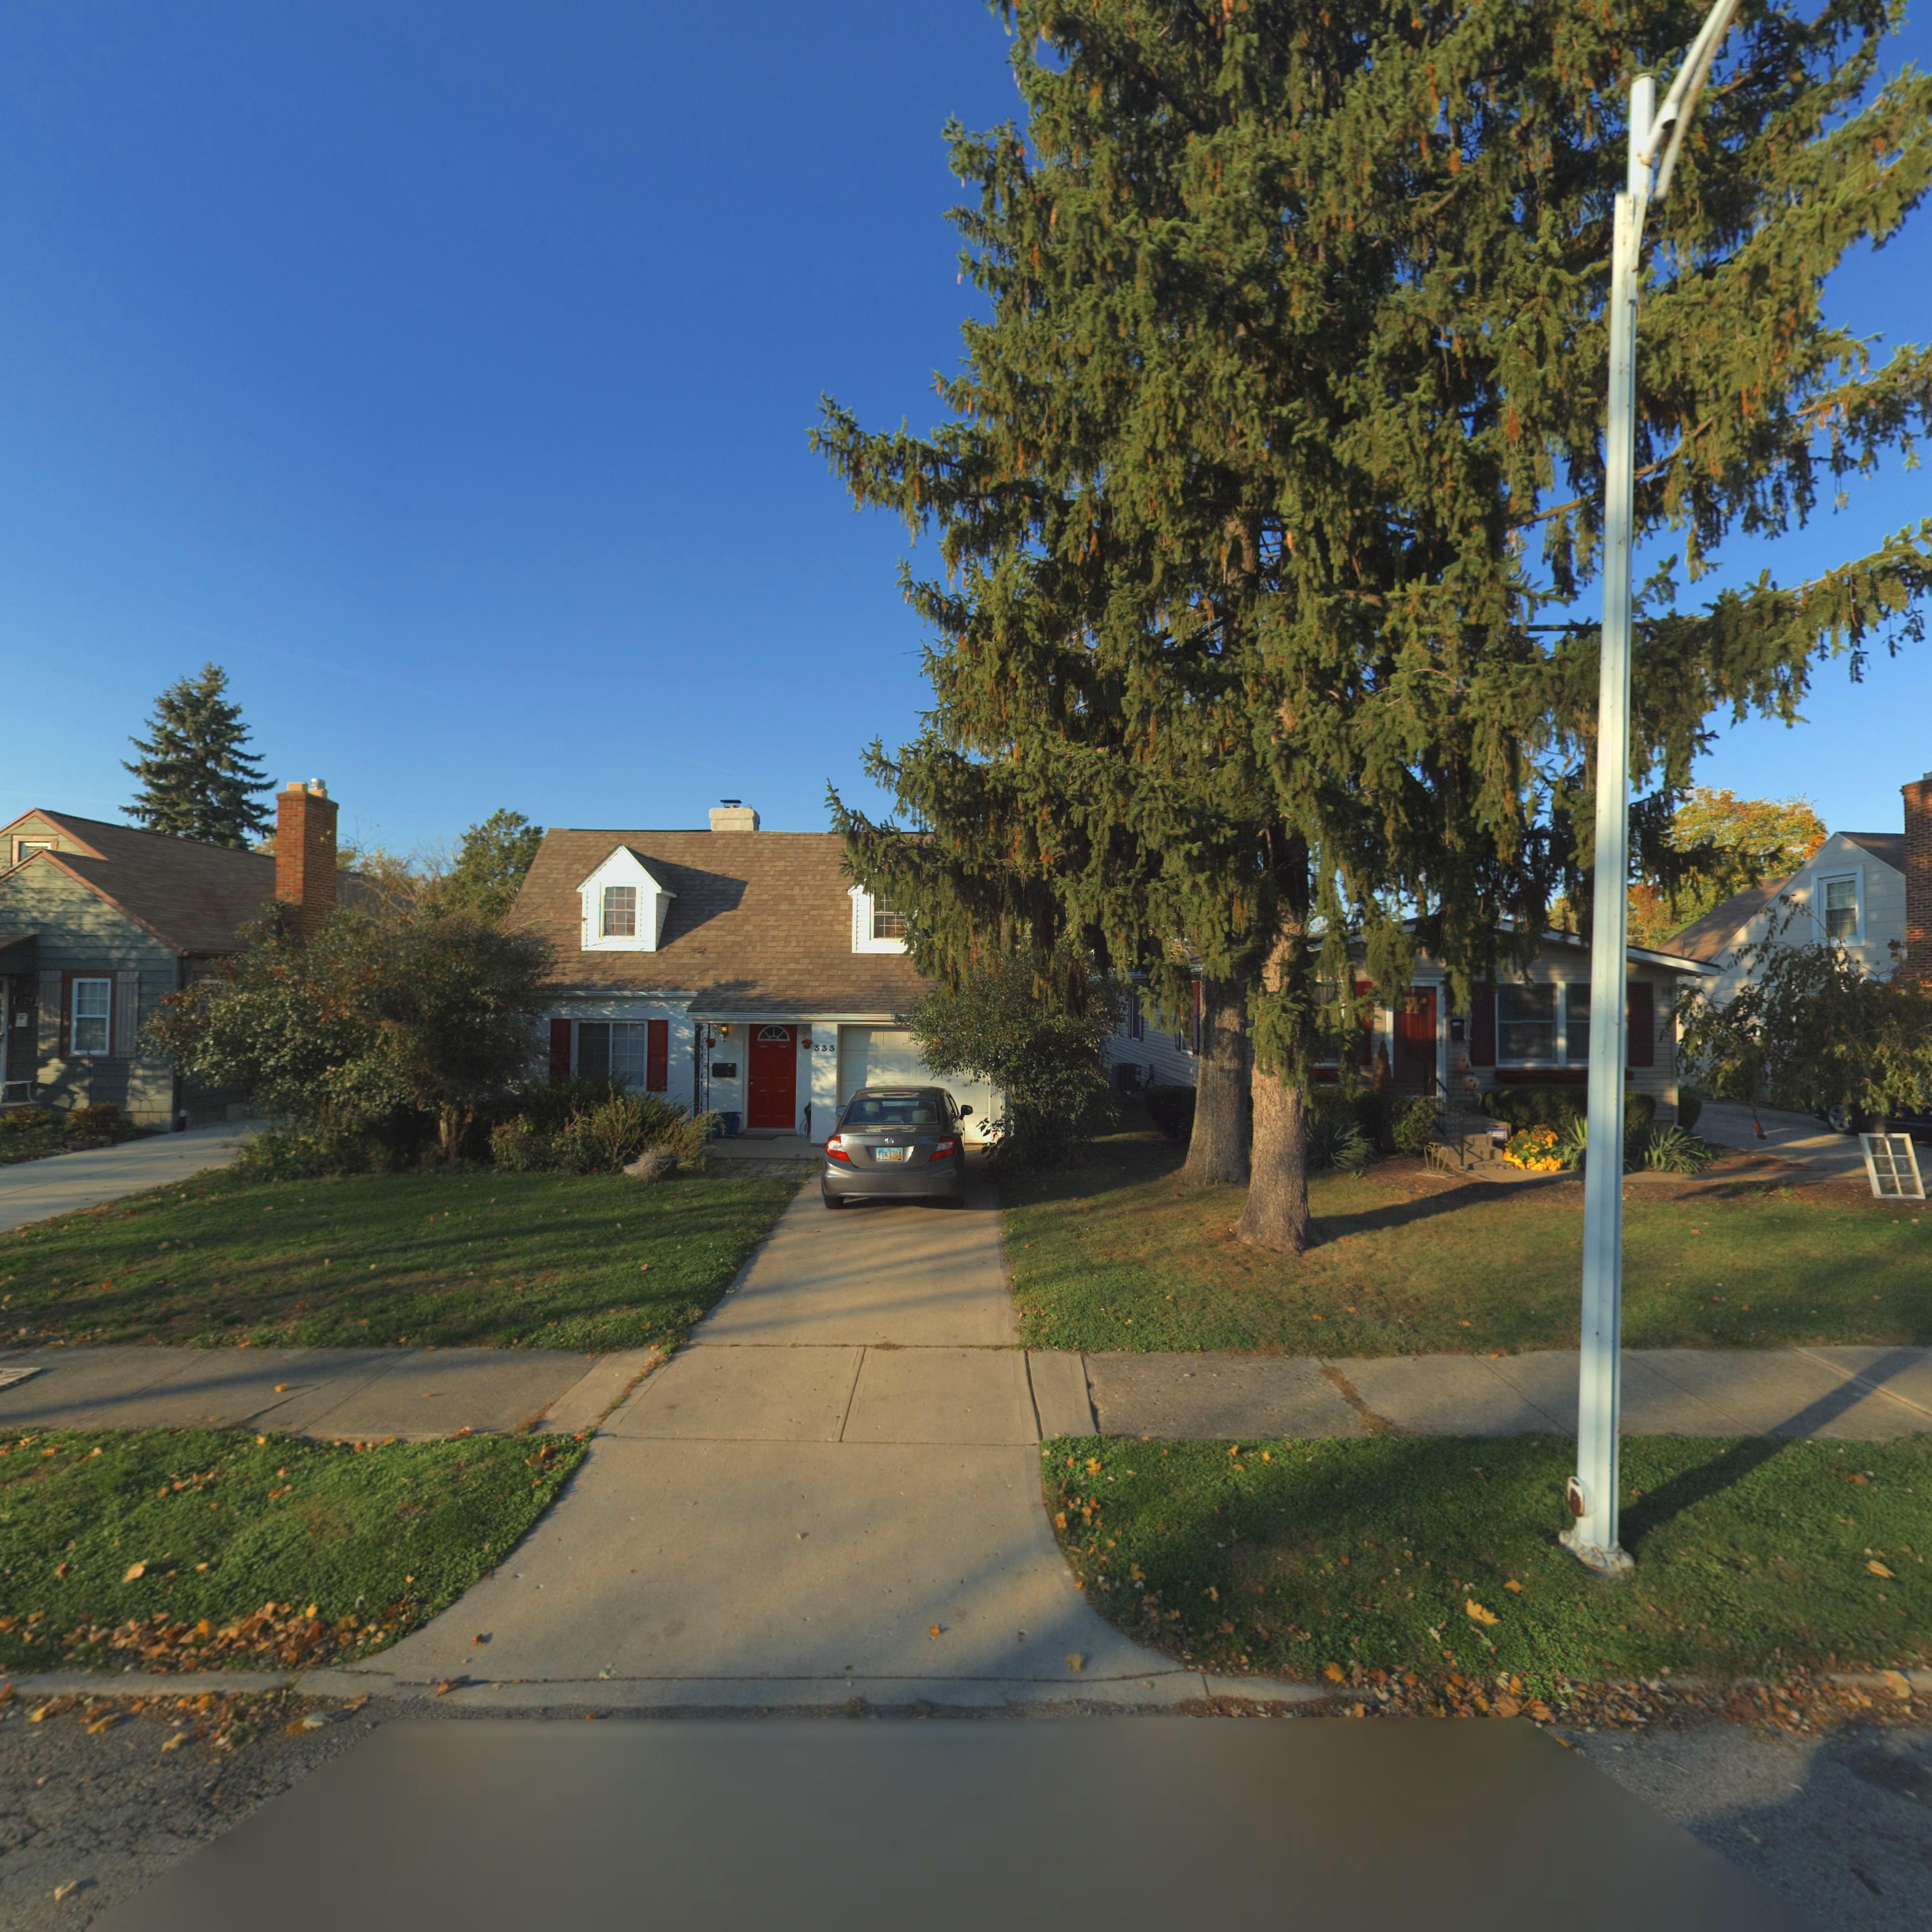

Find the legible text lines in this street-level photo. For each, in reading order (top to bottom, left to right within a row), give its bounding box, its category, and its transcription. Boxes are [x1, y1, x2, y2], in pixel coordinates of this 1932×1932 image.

[18, 995, 34, 1006] StreetNumber: *2*
[813, 1044, 835, 1053] StreetNumber: 333
[1874, 1139, 1883, 1151] StreetNumber: 3
[1899, 1159, 1909, 1171] StreetNumber: 3